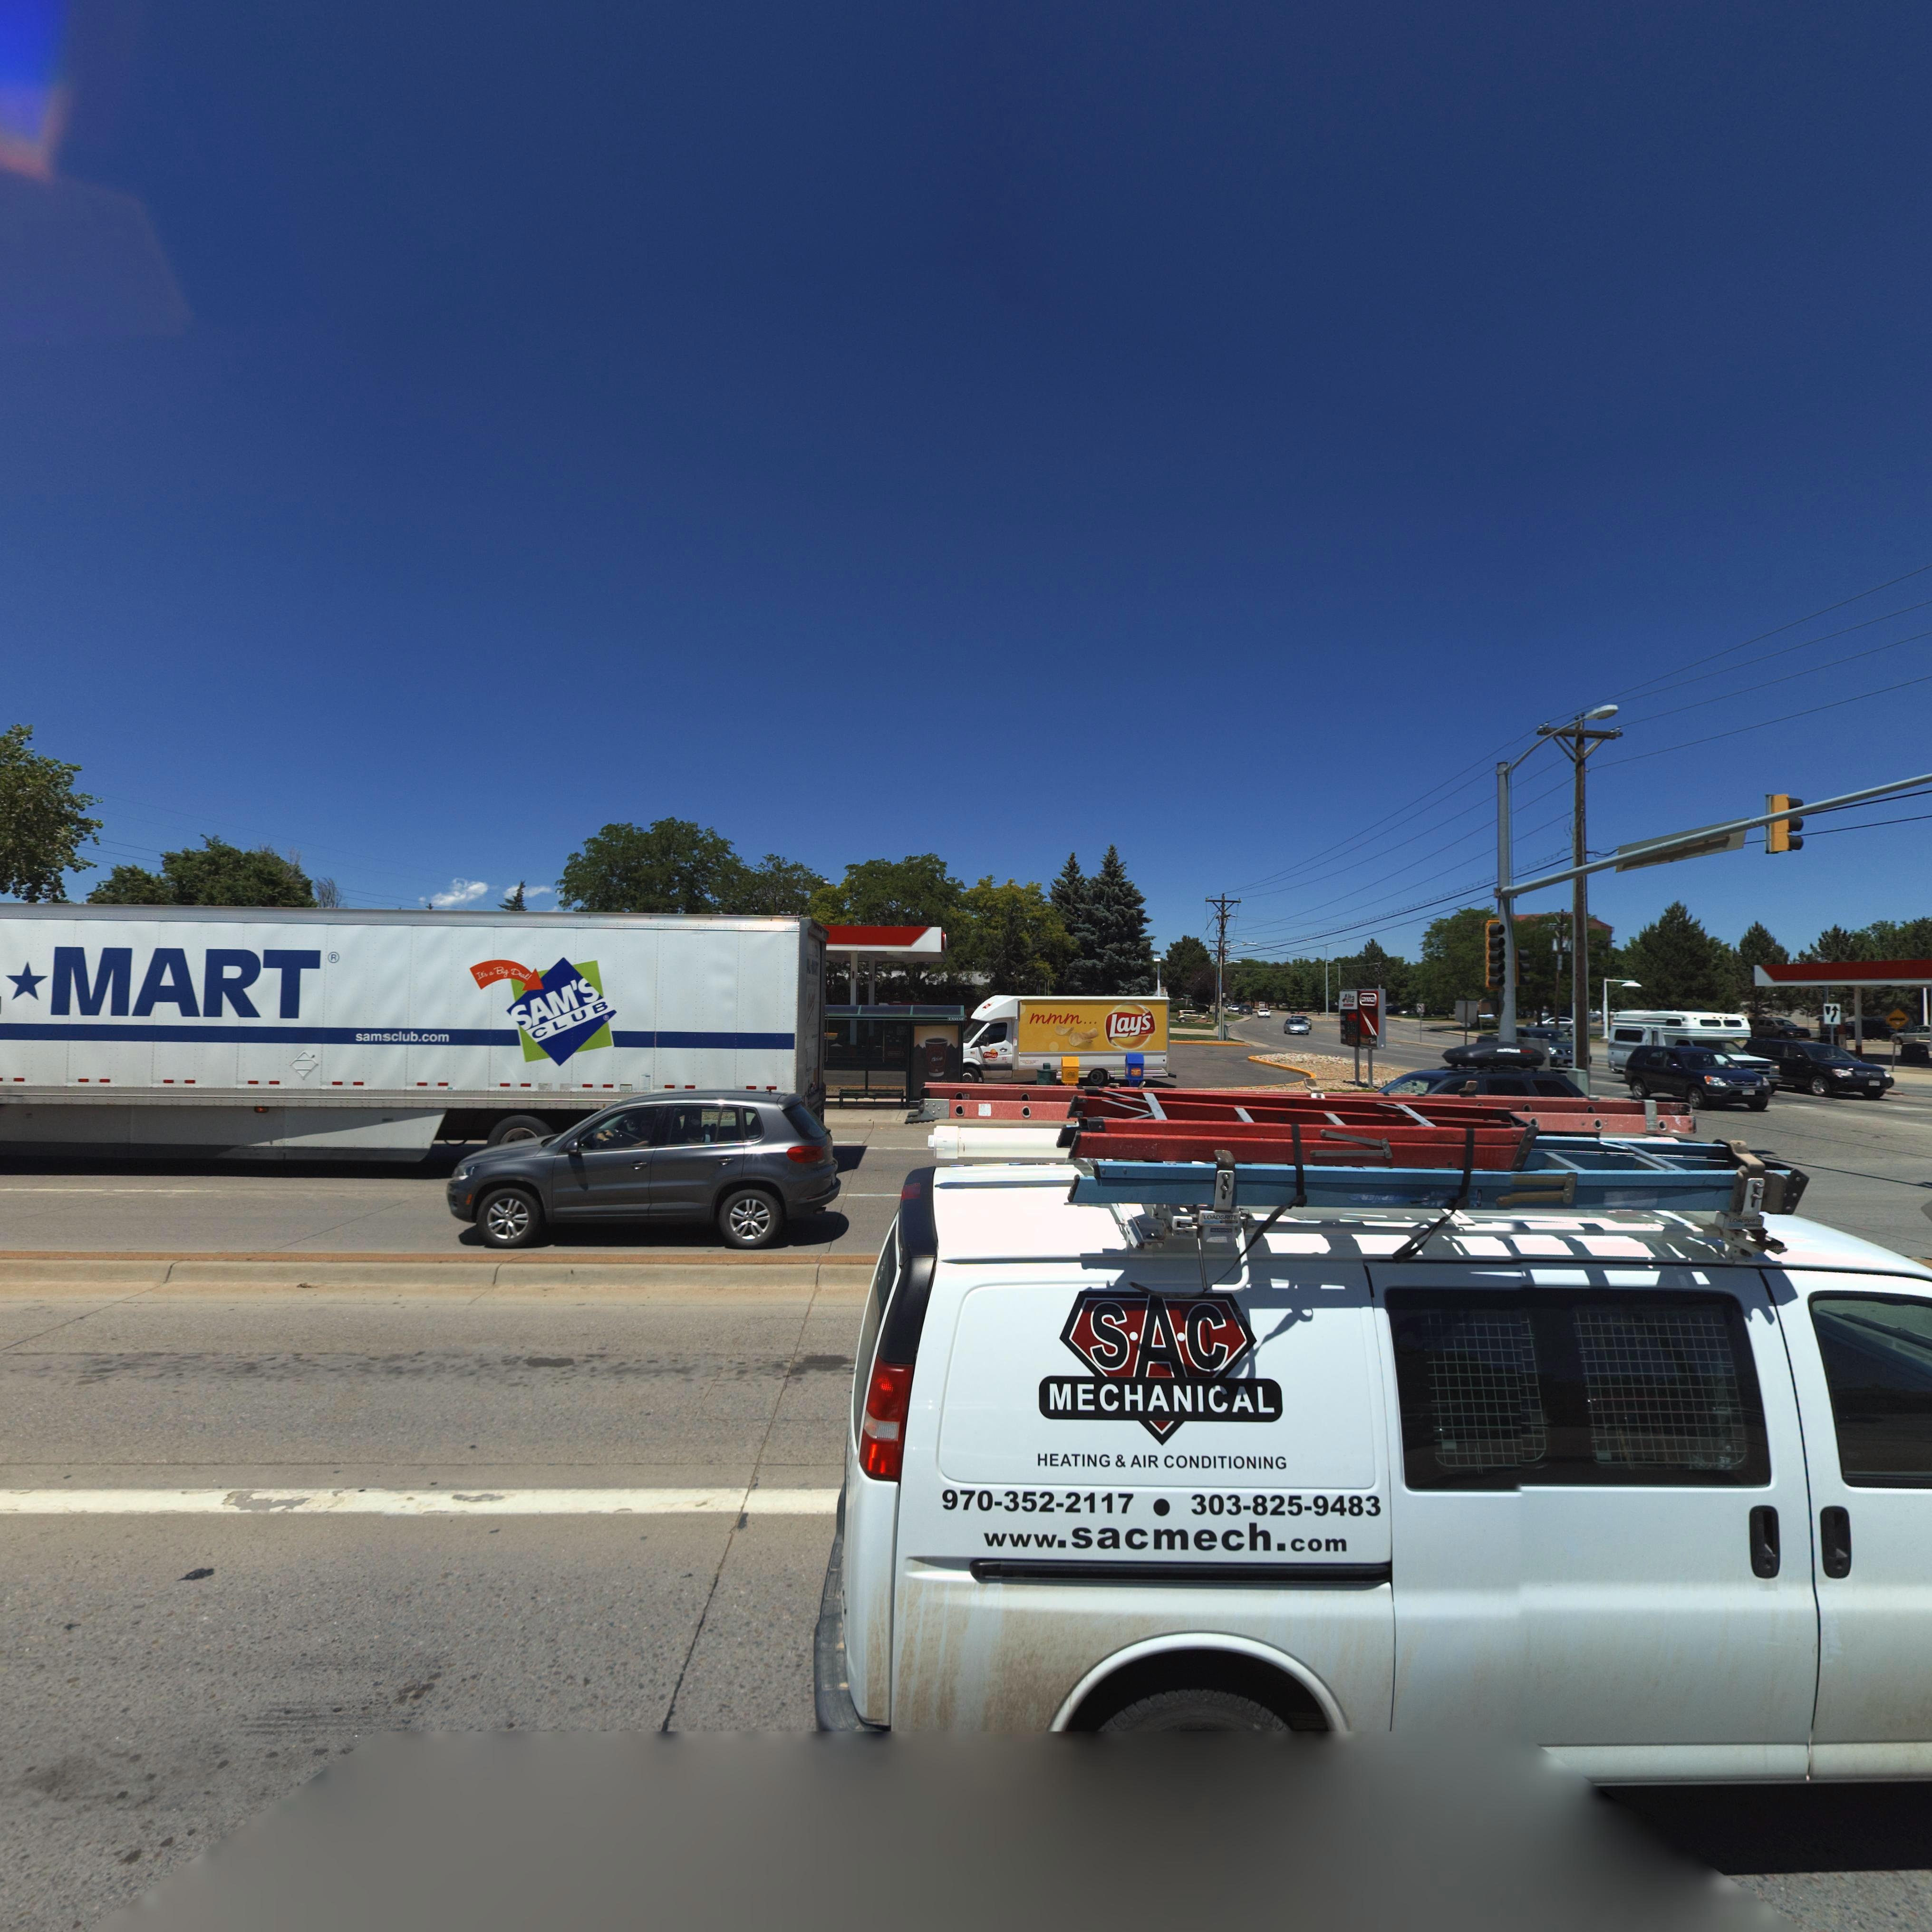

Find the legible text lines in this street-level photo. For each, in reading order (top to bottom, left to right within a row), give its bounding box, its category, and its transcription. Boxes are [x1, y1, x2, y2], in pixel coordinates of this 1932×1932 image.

[1343, 994, 1354, 1003] BusinessName: A*ta